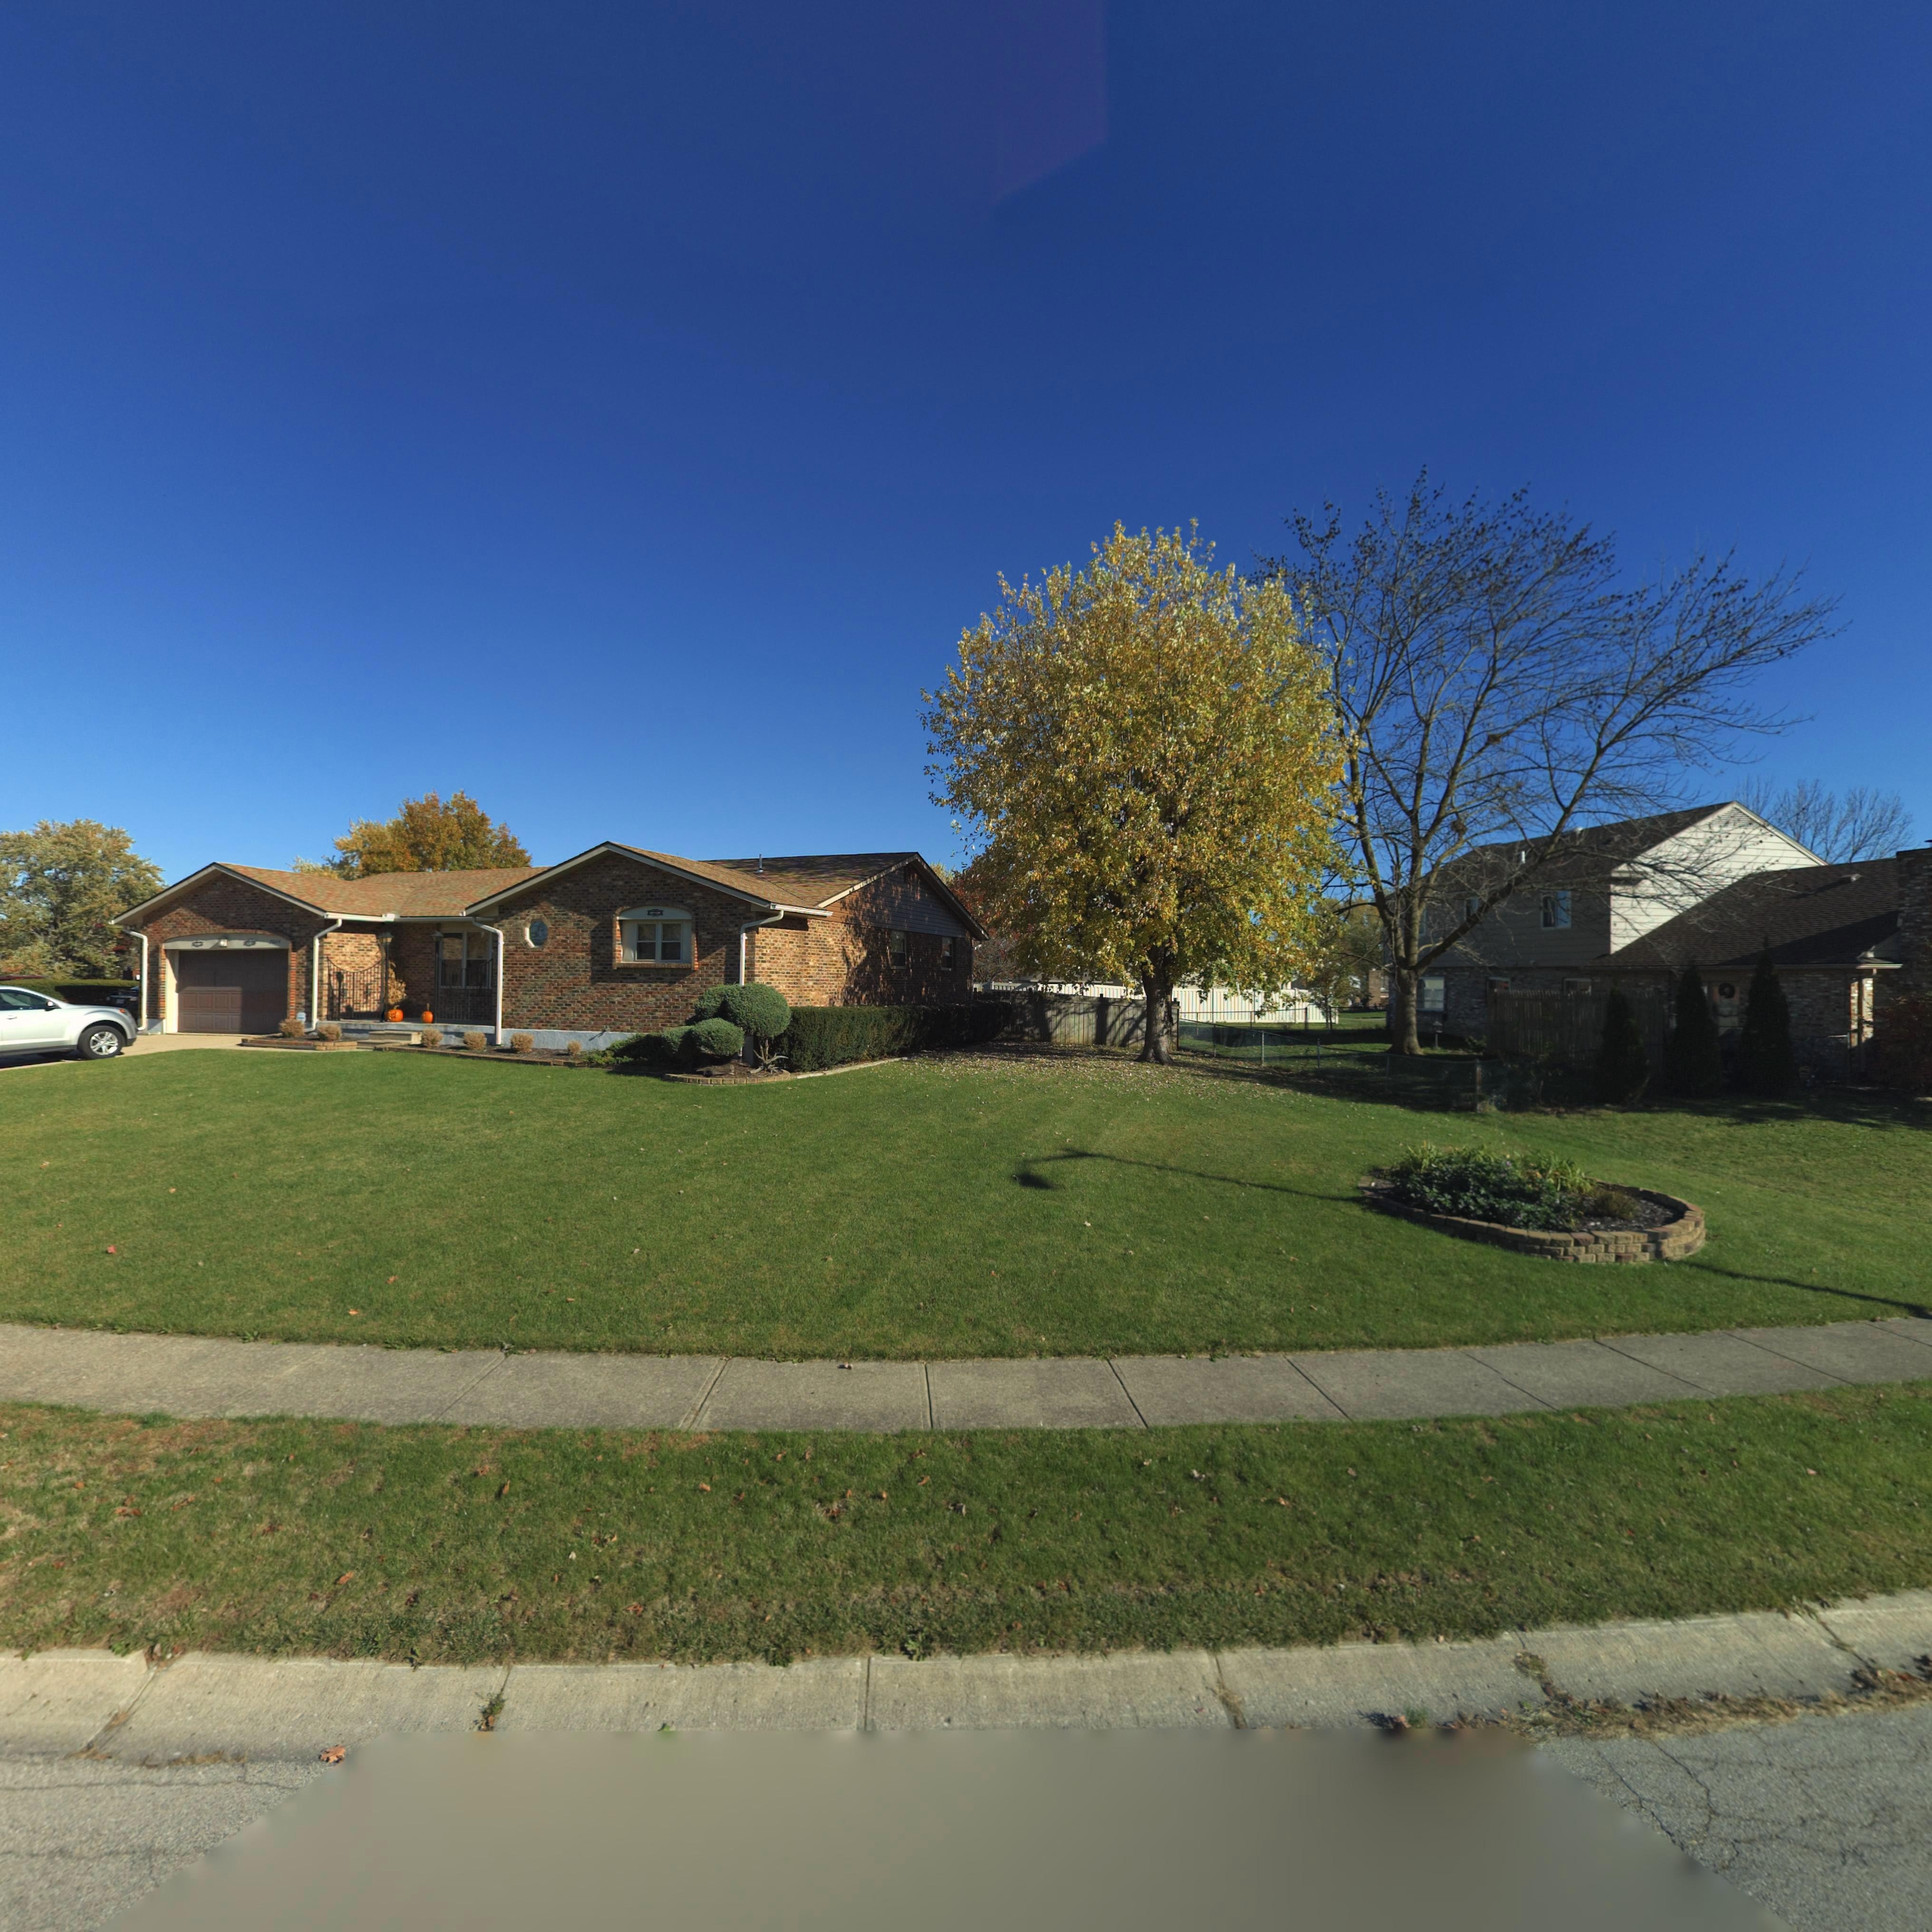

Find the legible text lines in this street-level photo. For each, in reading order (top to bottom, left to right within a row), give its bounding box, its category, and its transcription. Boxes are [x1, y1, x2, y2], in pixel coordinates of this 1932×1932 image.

[268, 939, 281, 945] StreetNumber: 7*34